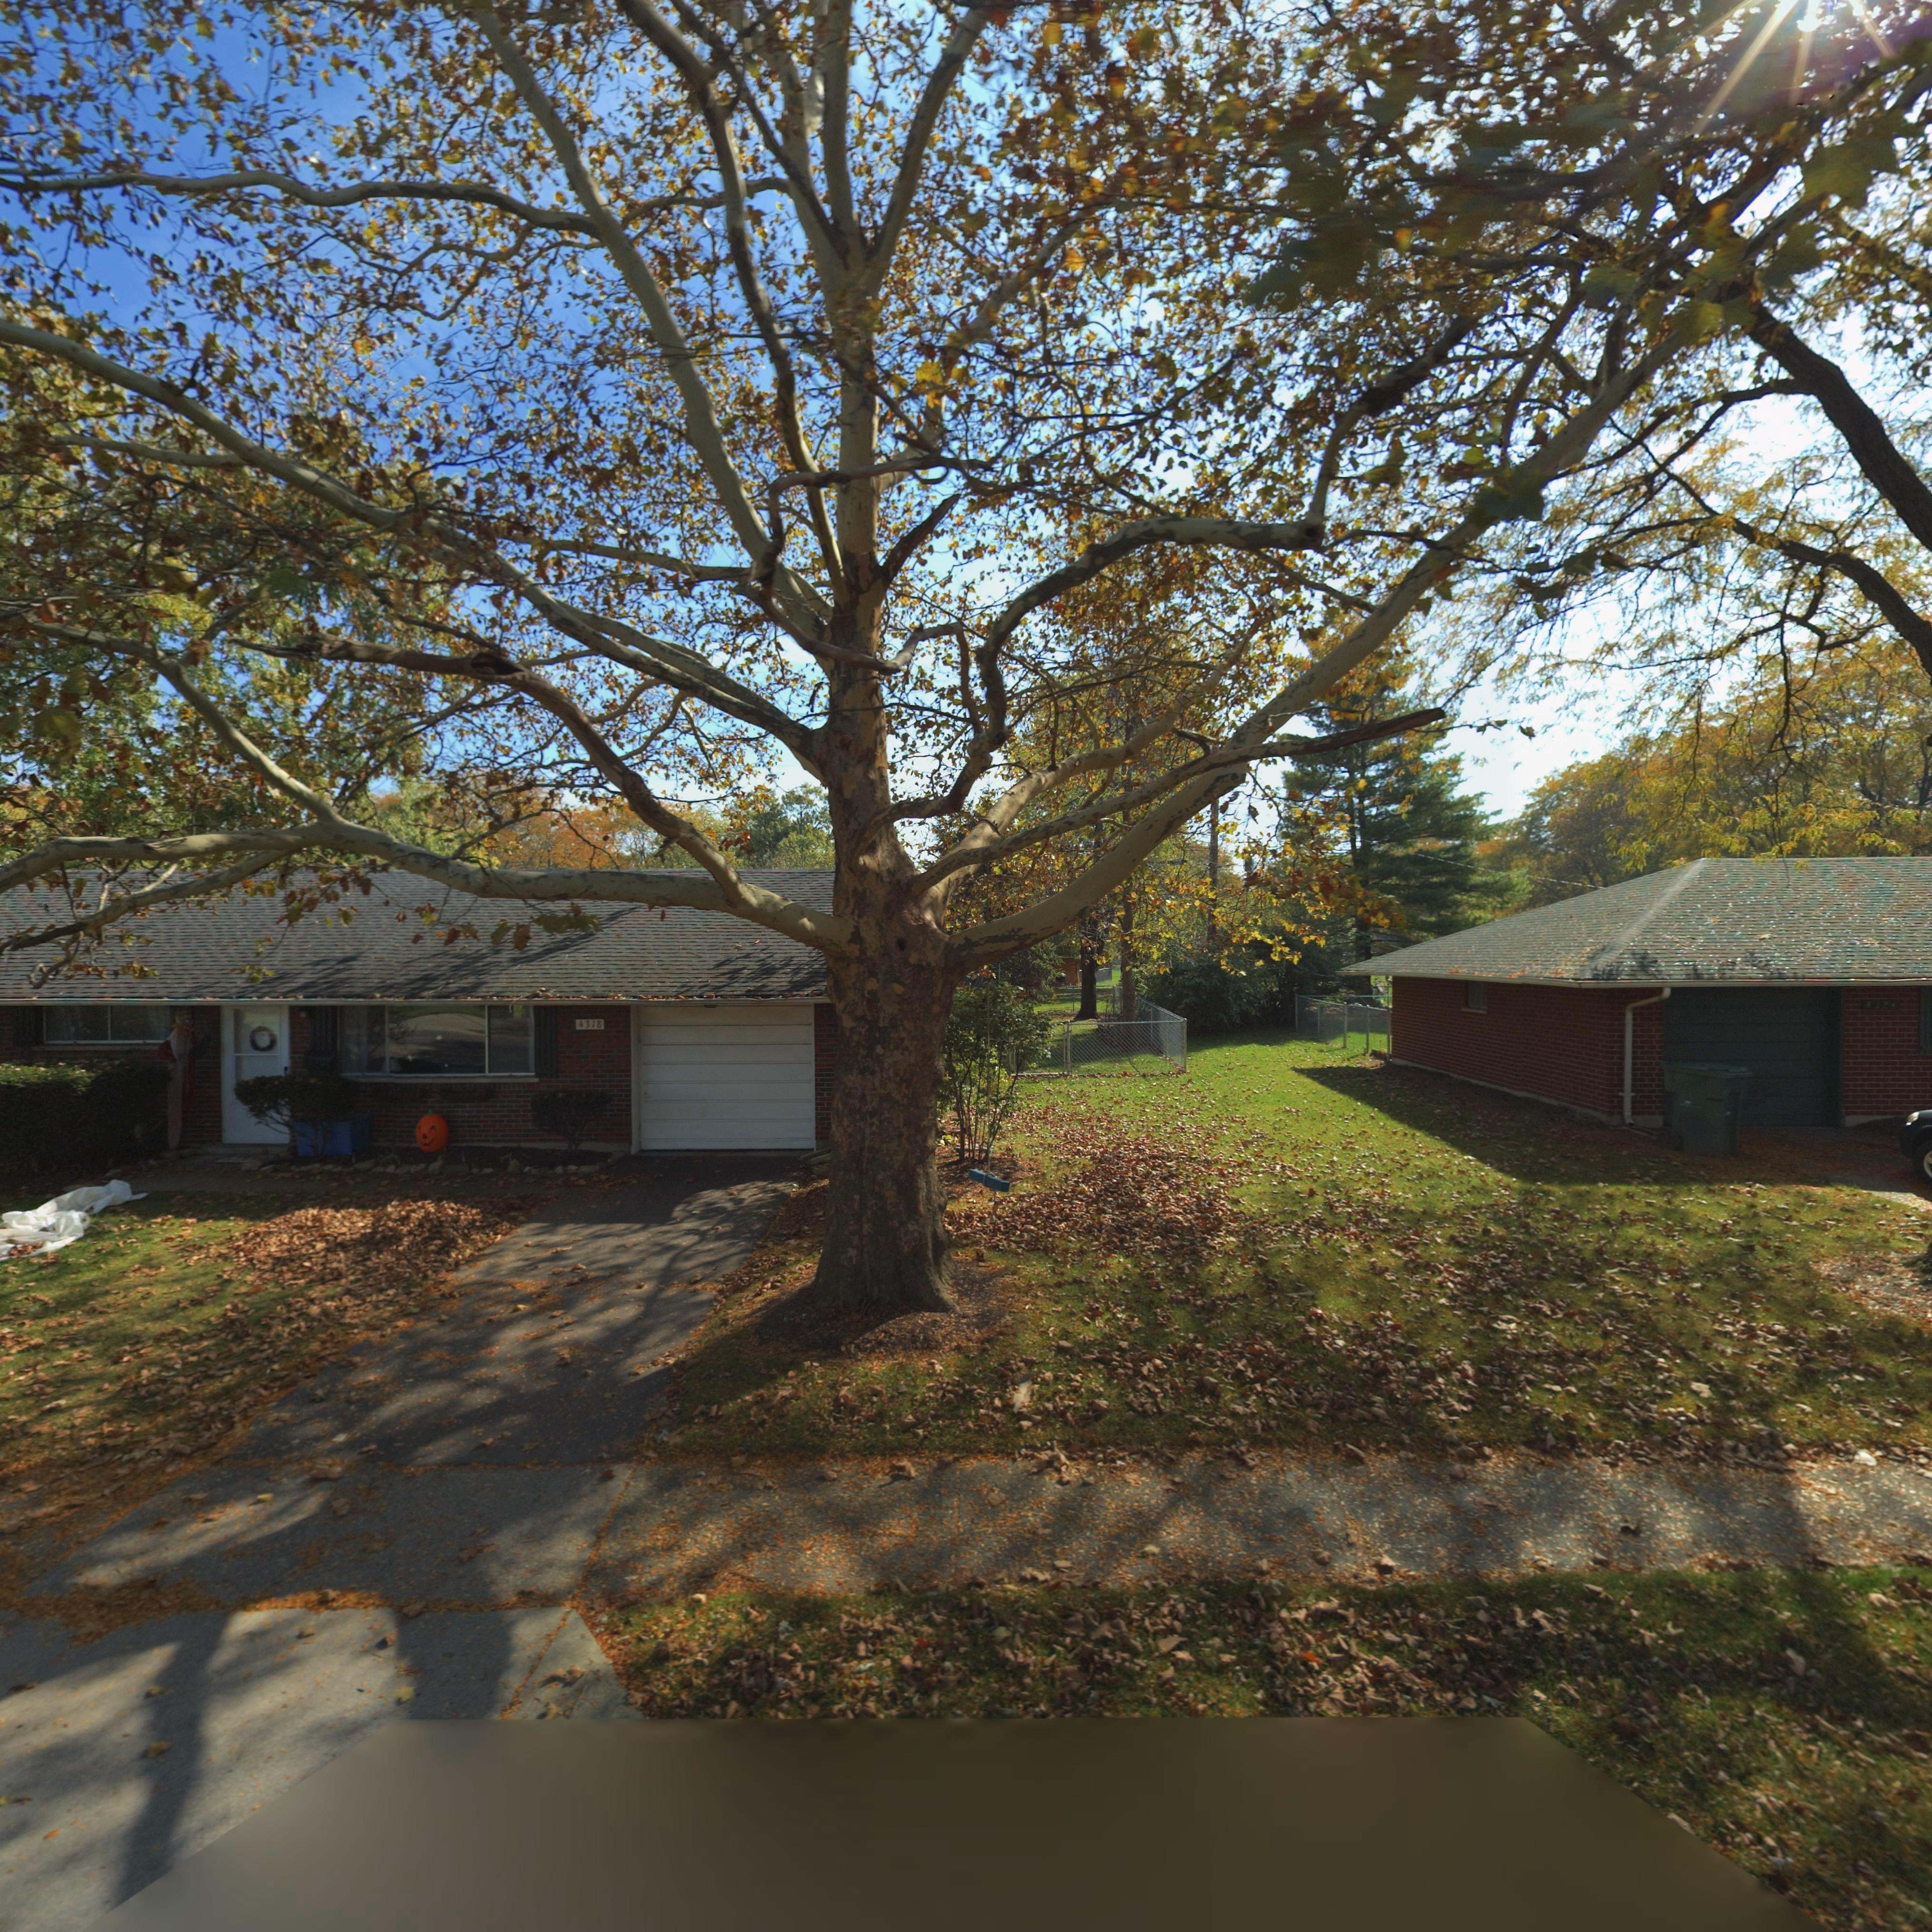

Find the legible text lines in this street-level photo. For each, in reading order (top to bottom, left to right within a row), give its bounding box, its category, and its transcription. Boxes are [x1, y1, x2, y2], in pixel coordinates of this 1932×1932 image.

[577, 1019, 603, 1030] StreetNumber: 4318